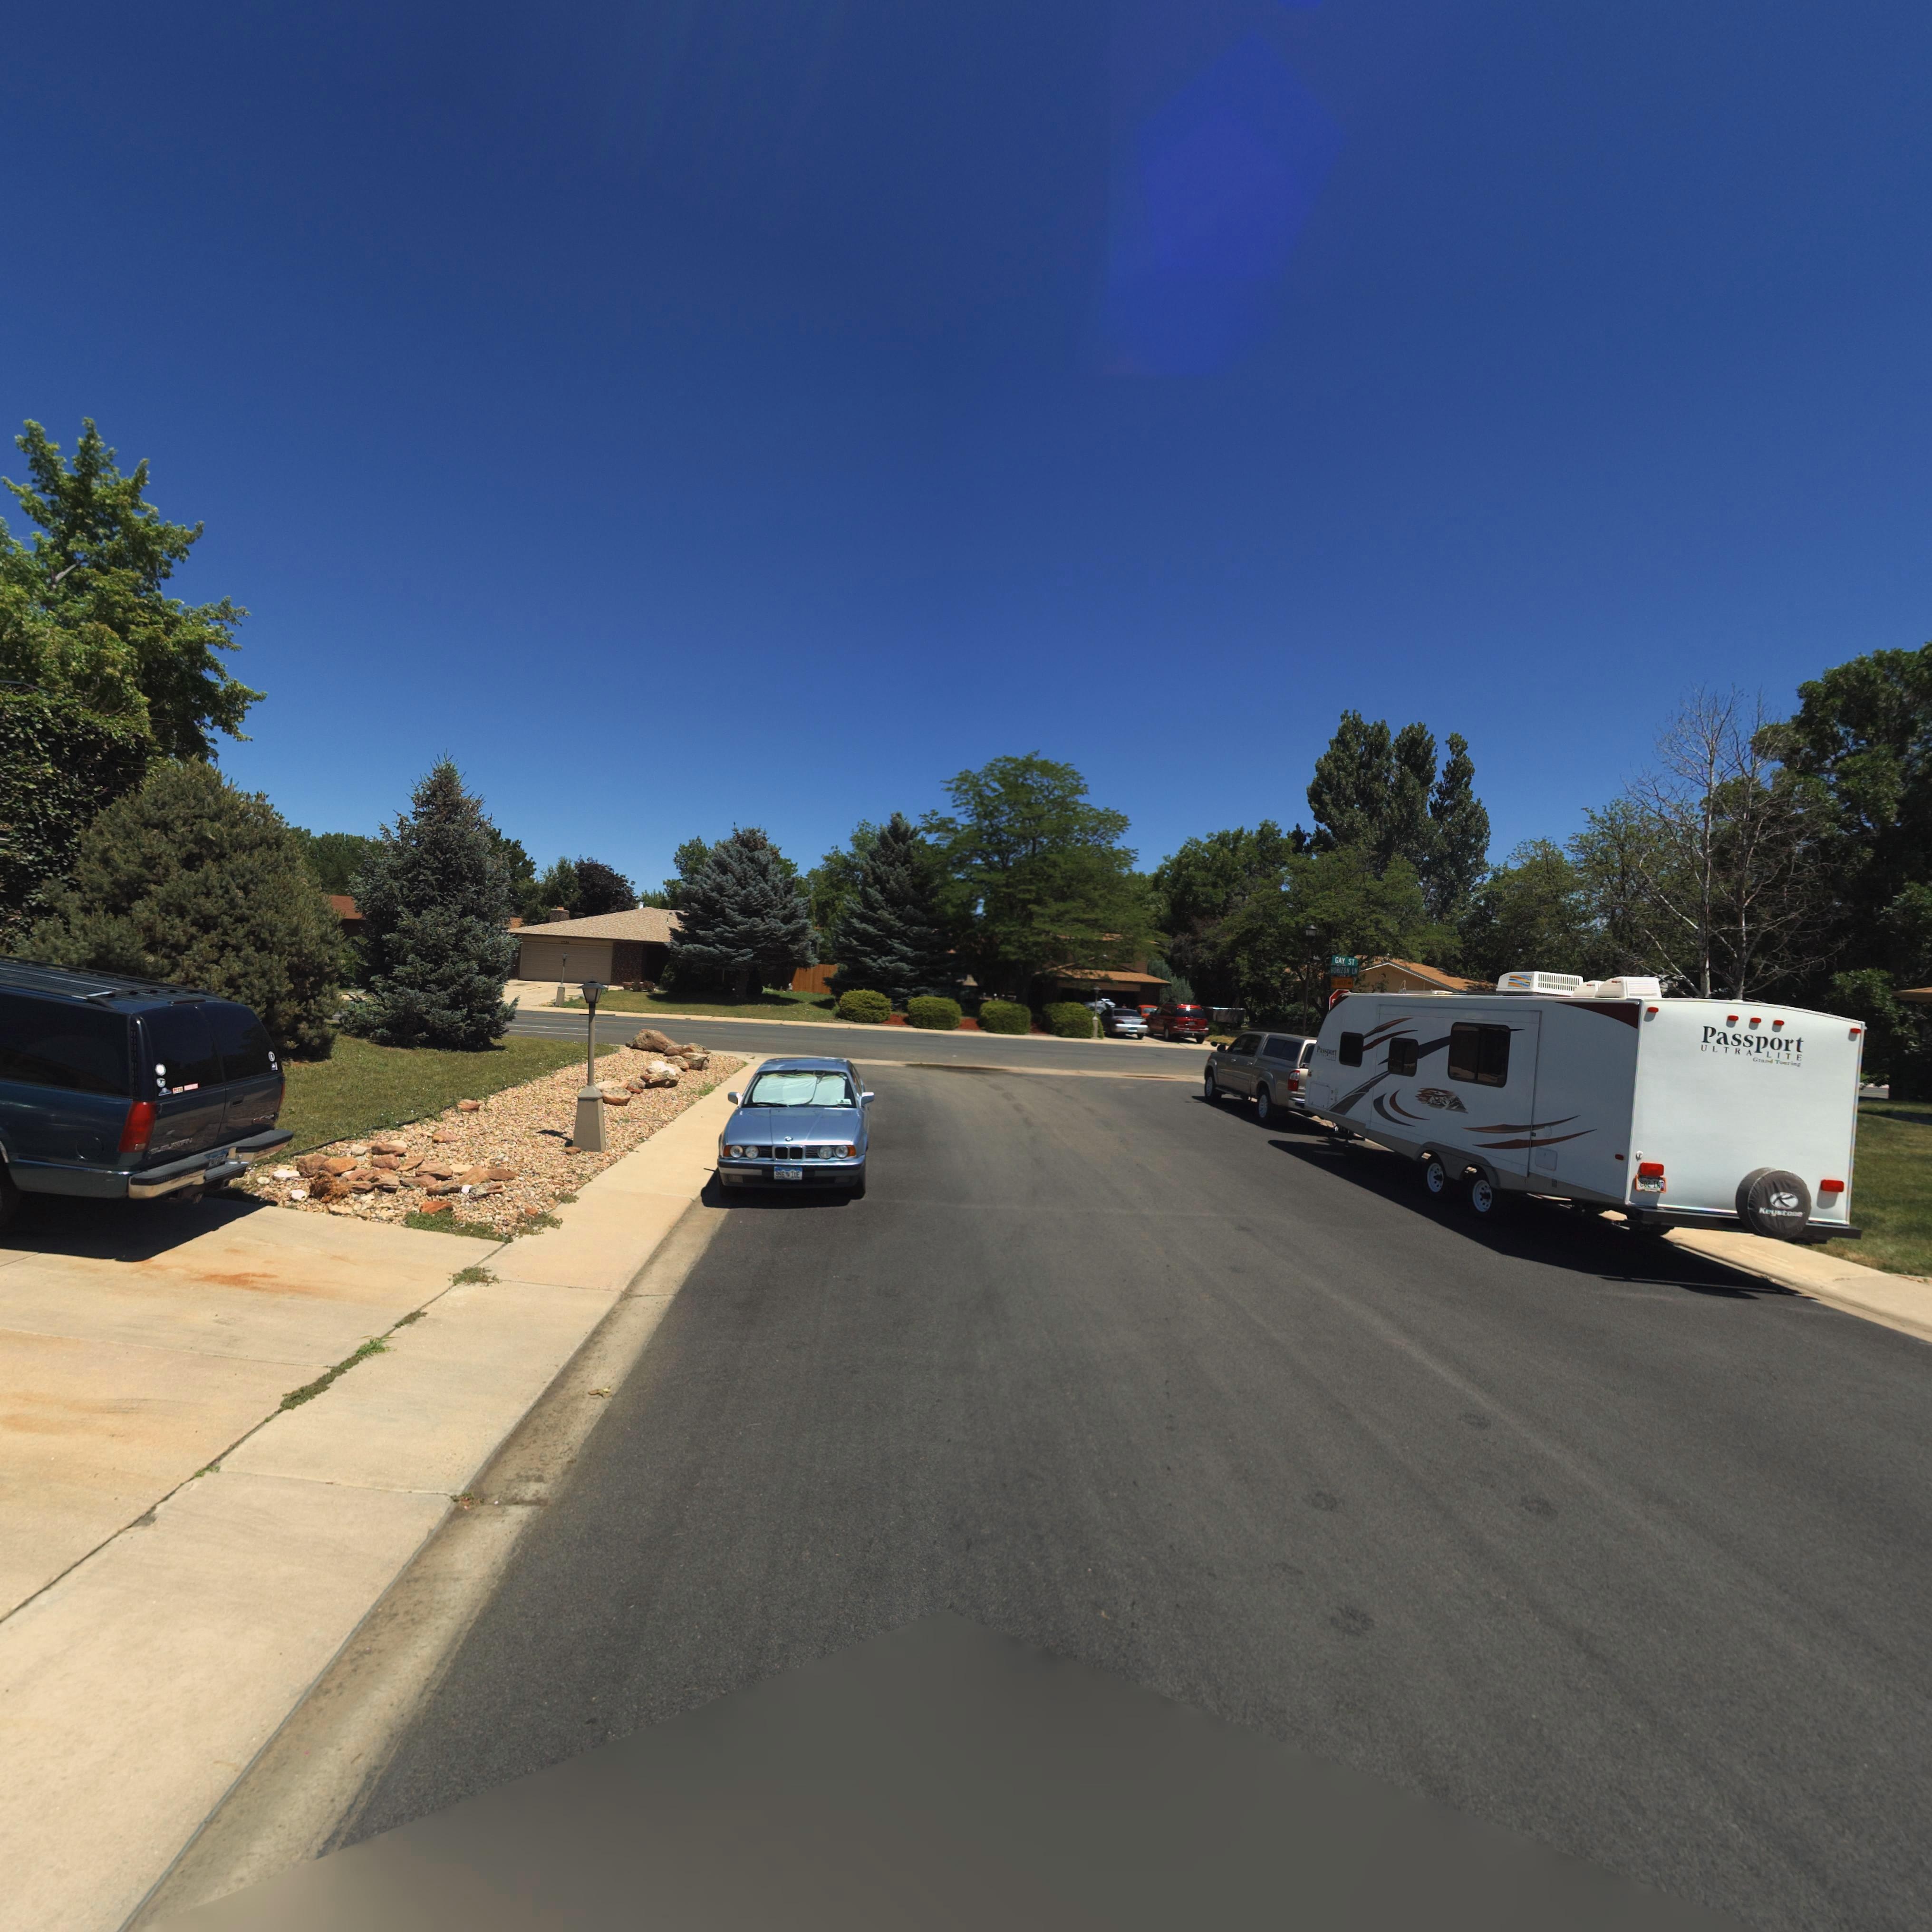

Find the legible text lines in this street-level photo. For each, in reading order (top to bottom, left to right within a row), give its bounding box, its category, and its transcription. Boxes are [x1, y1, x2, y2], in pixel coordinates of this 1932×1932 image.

[1334, 956, 1355, 966] StreetName: GAY ST
[1331, 966, 1358, 974] StreetName: HORIZON LN 